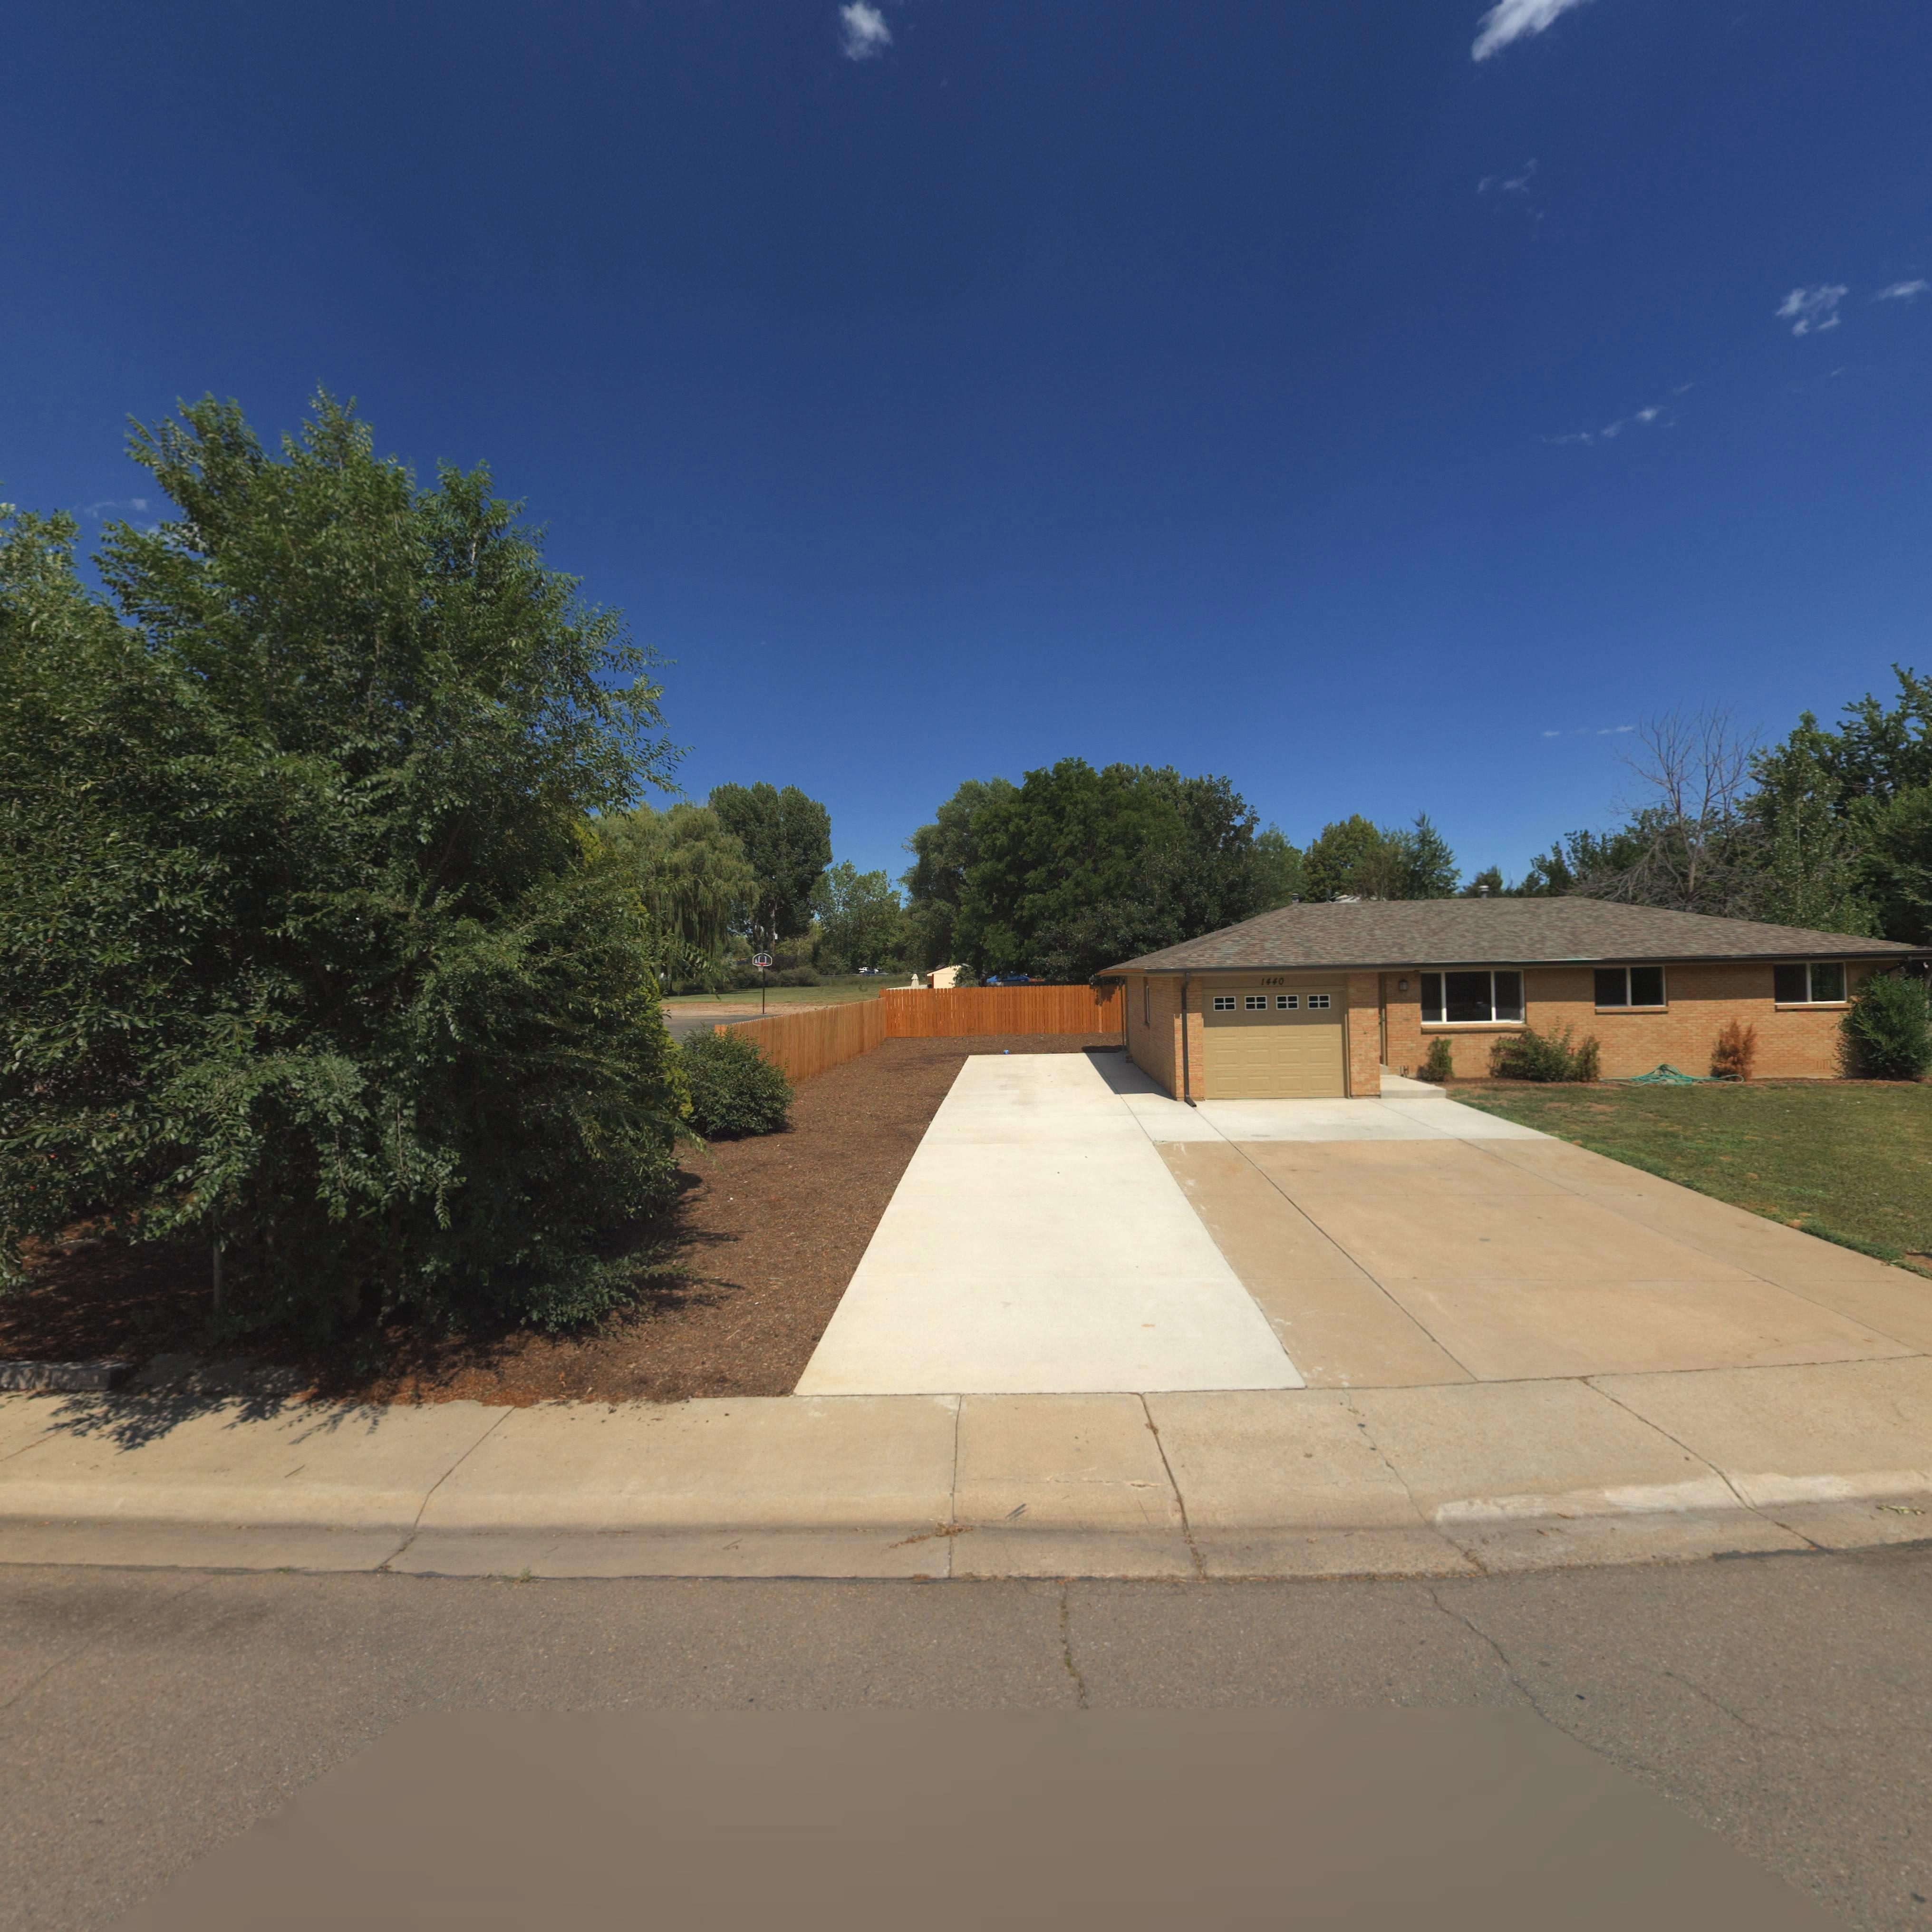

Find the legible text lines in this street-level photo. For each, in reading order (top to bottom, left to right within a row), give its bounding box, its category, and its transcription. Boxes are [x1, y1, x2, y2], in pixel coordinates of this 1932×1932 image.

[1260, 977, 1284, 986] StreetNumber: 1440